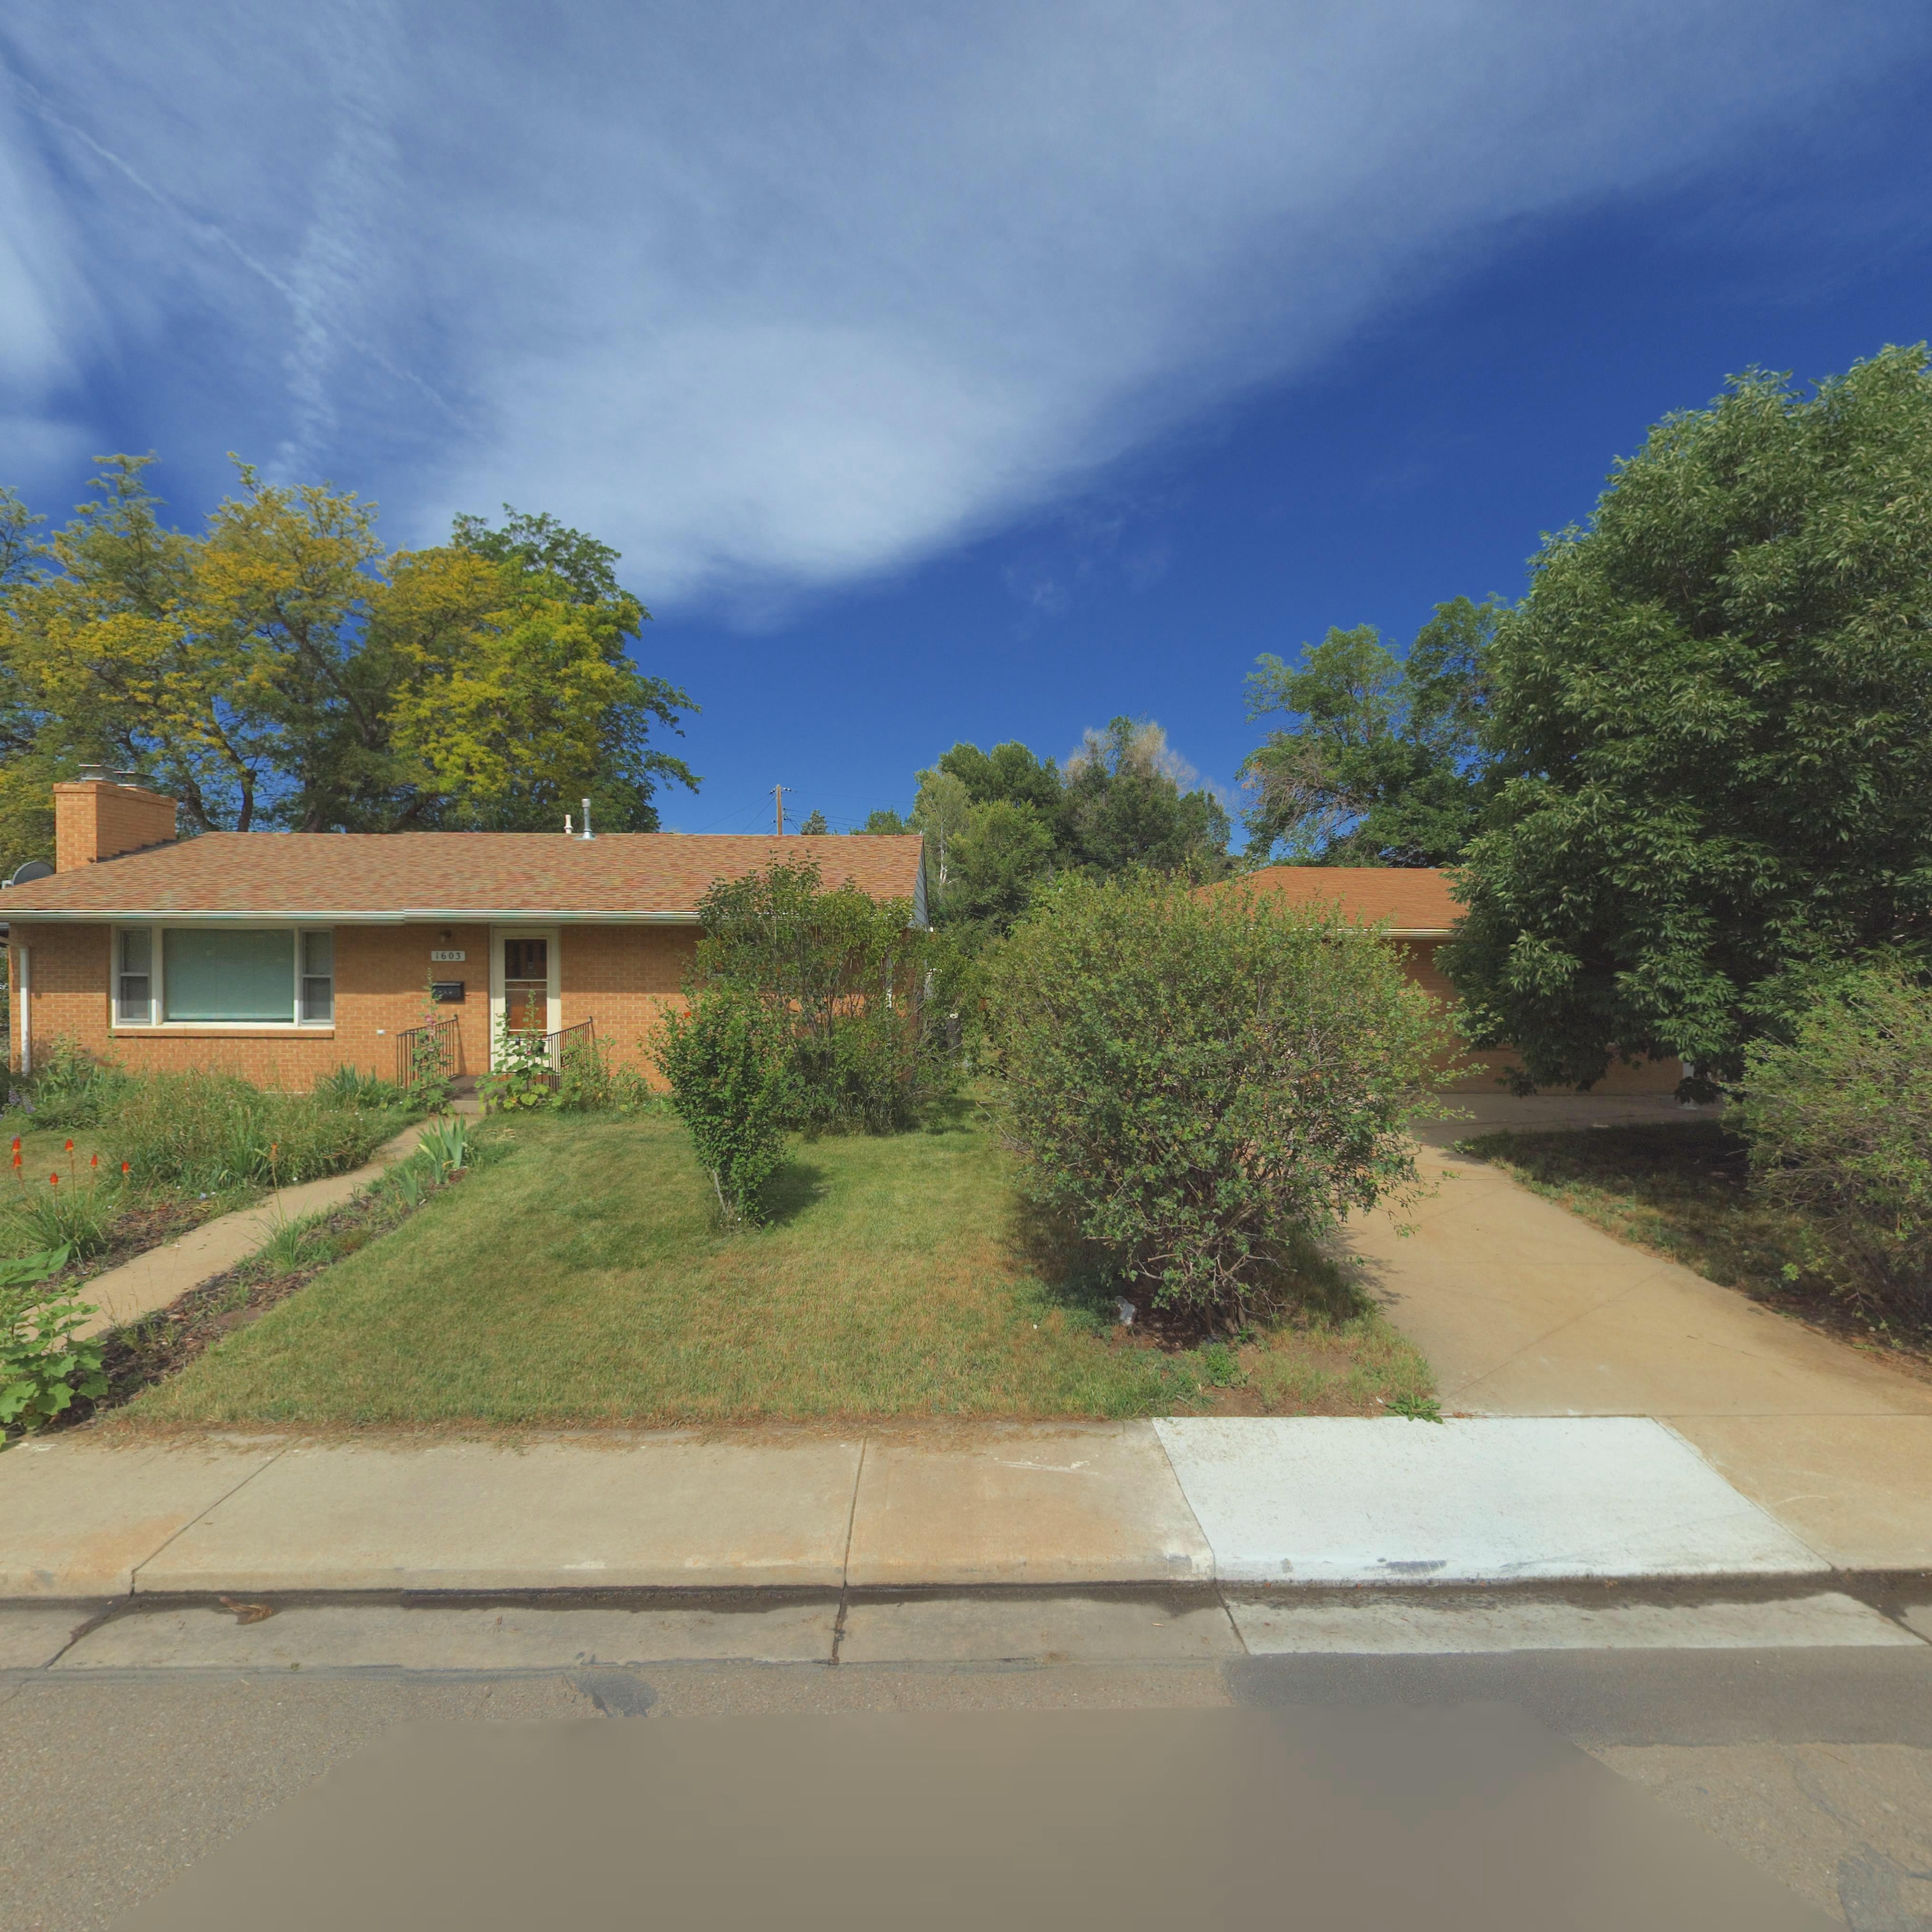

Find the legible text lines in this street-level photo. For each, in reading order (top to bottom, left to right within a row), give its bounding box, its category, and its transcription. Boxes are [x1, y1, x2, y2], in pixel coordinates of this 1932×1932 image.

[435, 951, 461, 959] StreetNumber: 1603